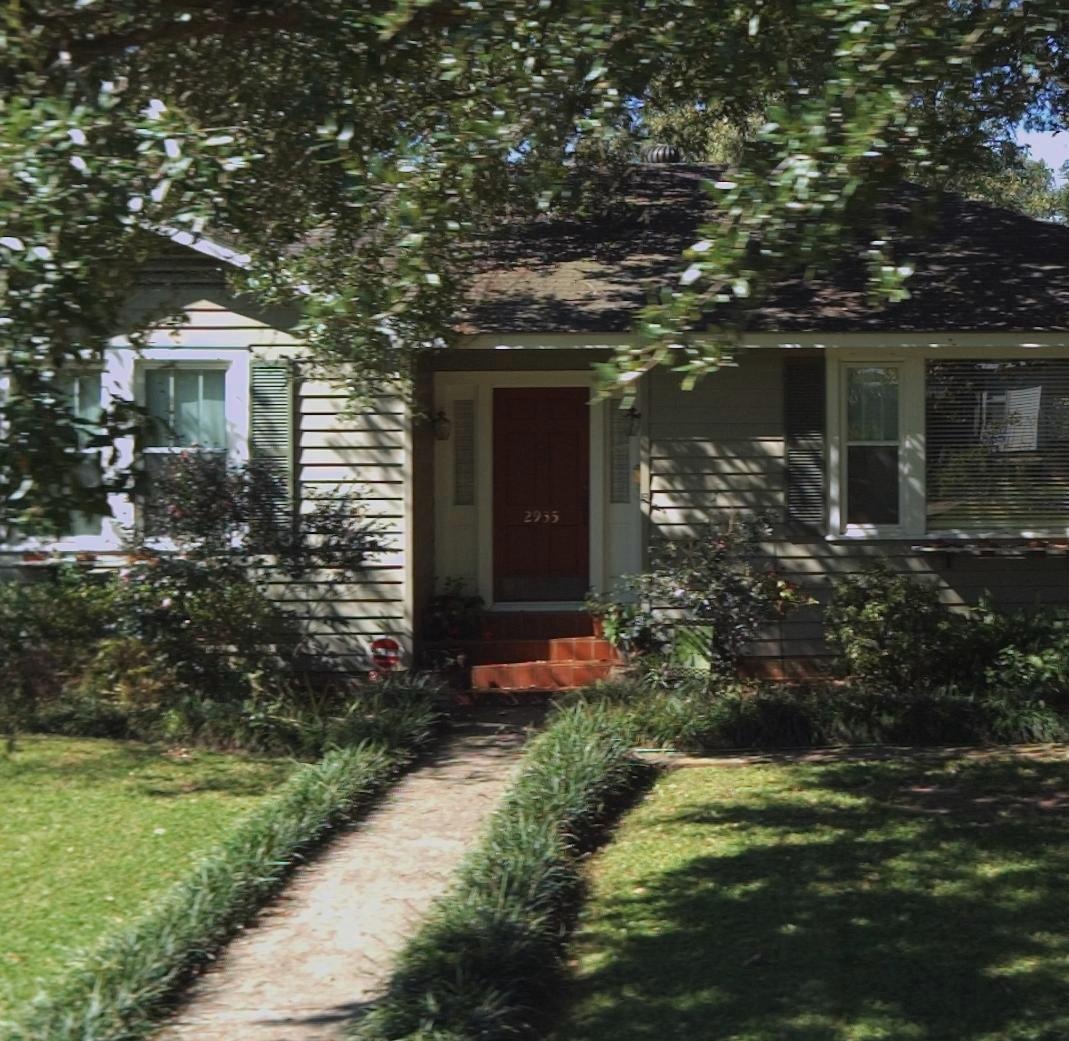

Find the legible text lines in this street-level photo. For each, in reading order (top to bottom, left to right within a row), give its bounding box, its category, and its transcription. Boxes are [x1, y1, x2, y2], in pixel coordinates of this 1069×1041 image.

[521, 507, 562, 526] StreetNumber: 2955